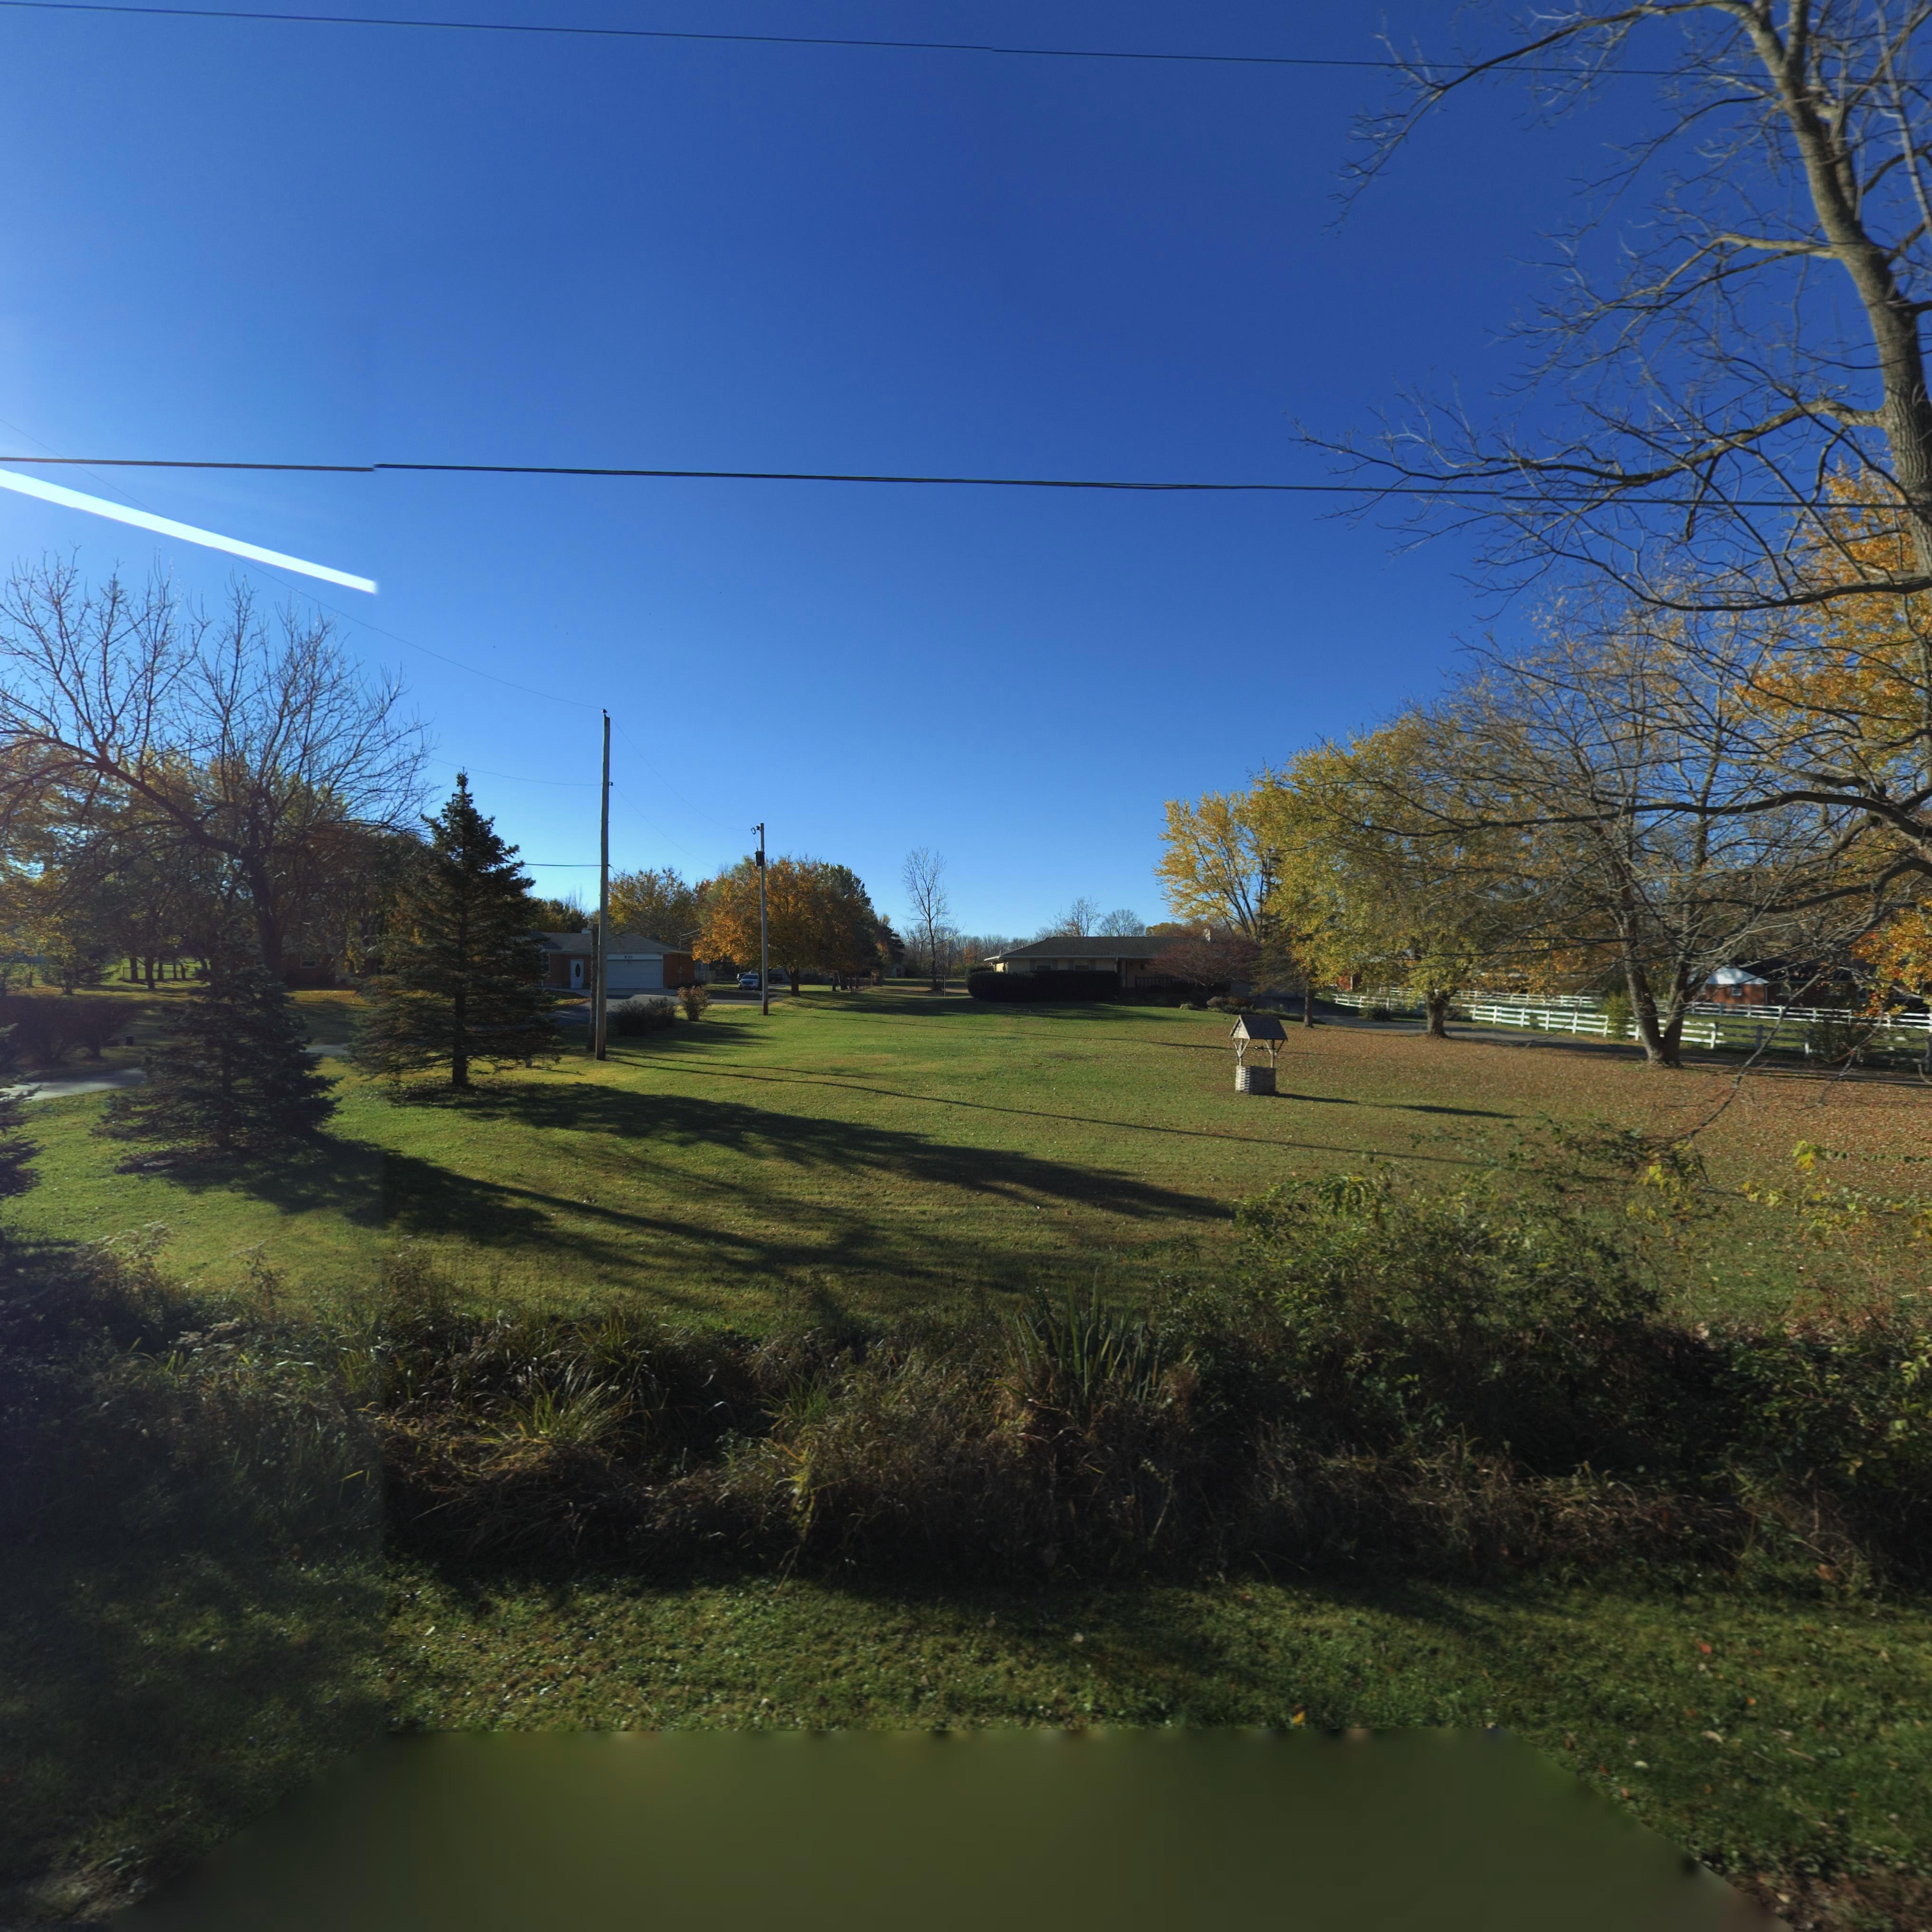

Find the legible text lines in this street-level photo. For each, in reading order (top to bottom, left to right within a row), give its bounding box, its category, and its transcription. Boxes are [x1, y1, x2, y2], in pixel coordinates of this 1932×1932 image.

[624, 955, 634, 959] StreetNumber: *30